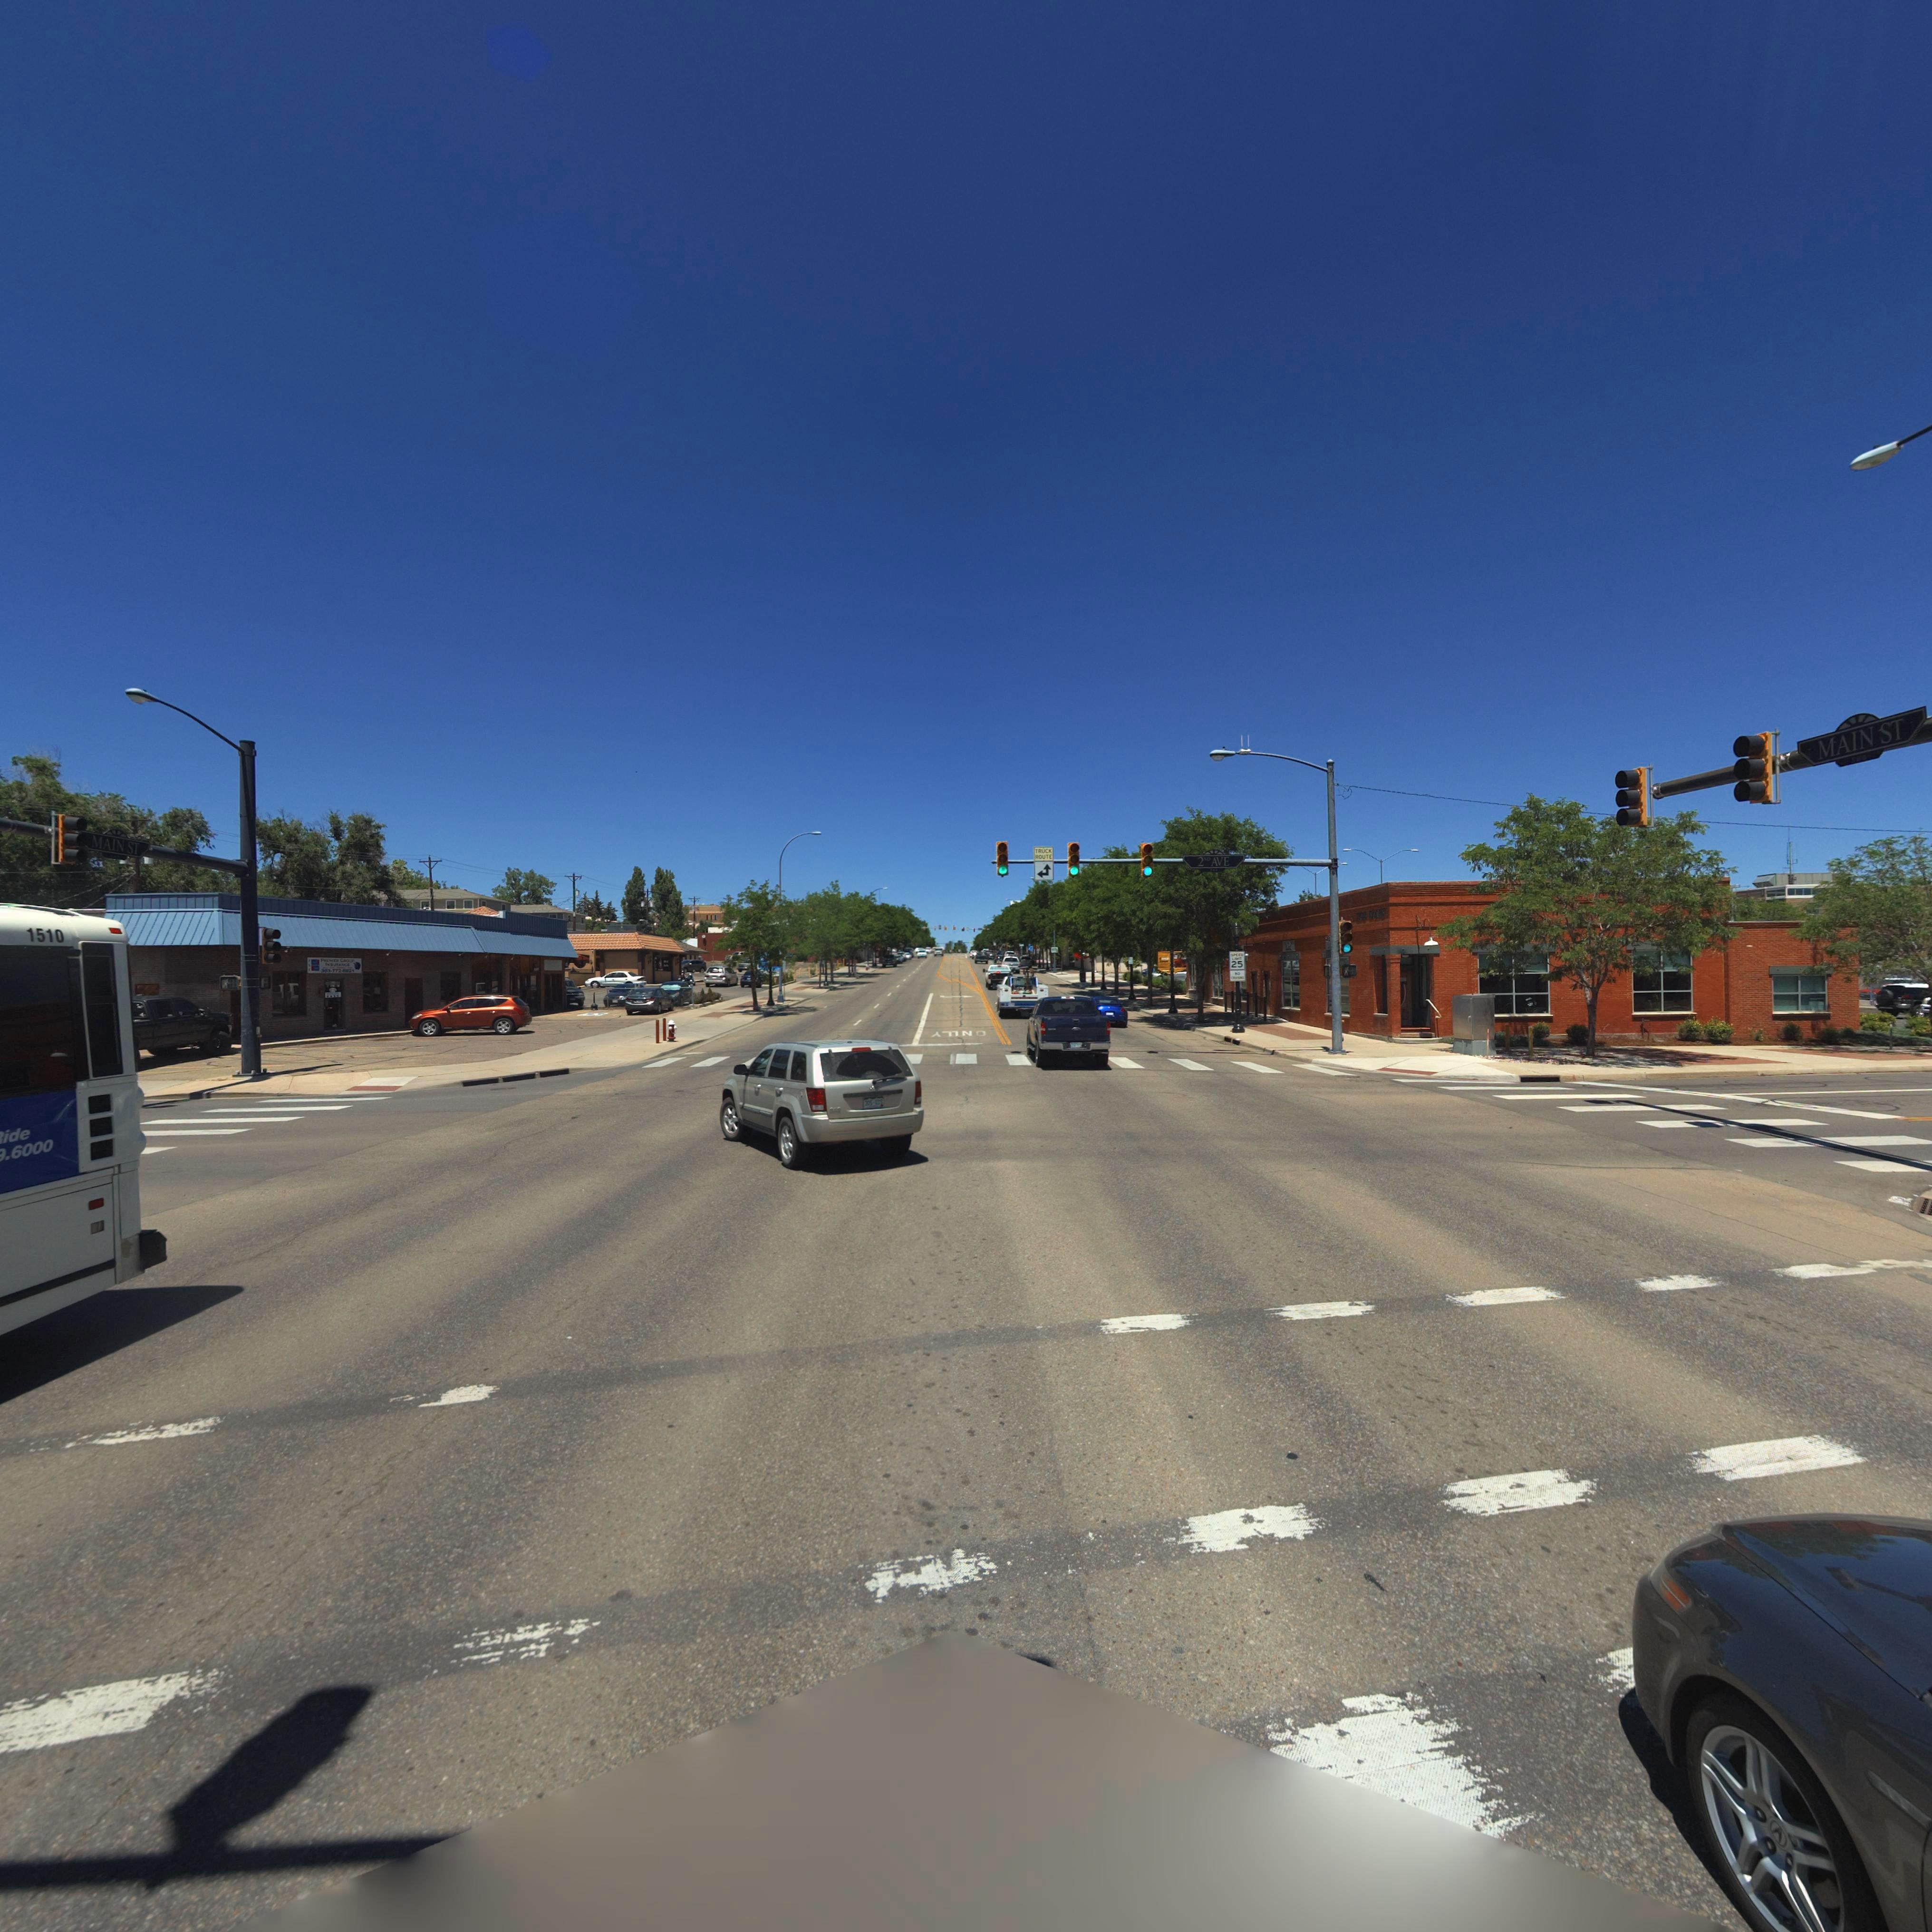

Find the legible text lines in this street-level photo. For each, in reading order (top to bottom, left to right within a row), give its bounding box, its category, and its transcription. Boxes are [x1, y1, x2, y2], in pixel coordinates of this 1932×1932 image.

[1817, 717, 1905, 761] StreetName: MAIN ST
[1851, 754, 1867, 763] StreetNumberRange: 500
[90, 834, 140, 855] StreetName: MAIN ST
[1197, 856, 1229, 867] StreetName: 2ND AVE
[320, 957, 355, 963] BusinessName: P**M**R GRO*P
[325, 962, 350, 966] BusinessName: IN***ANCE